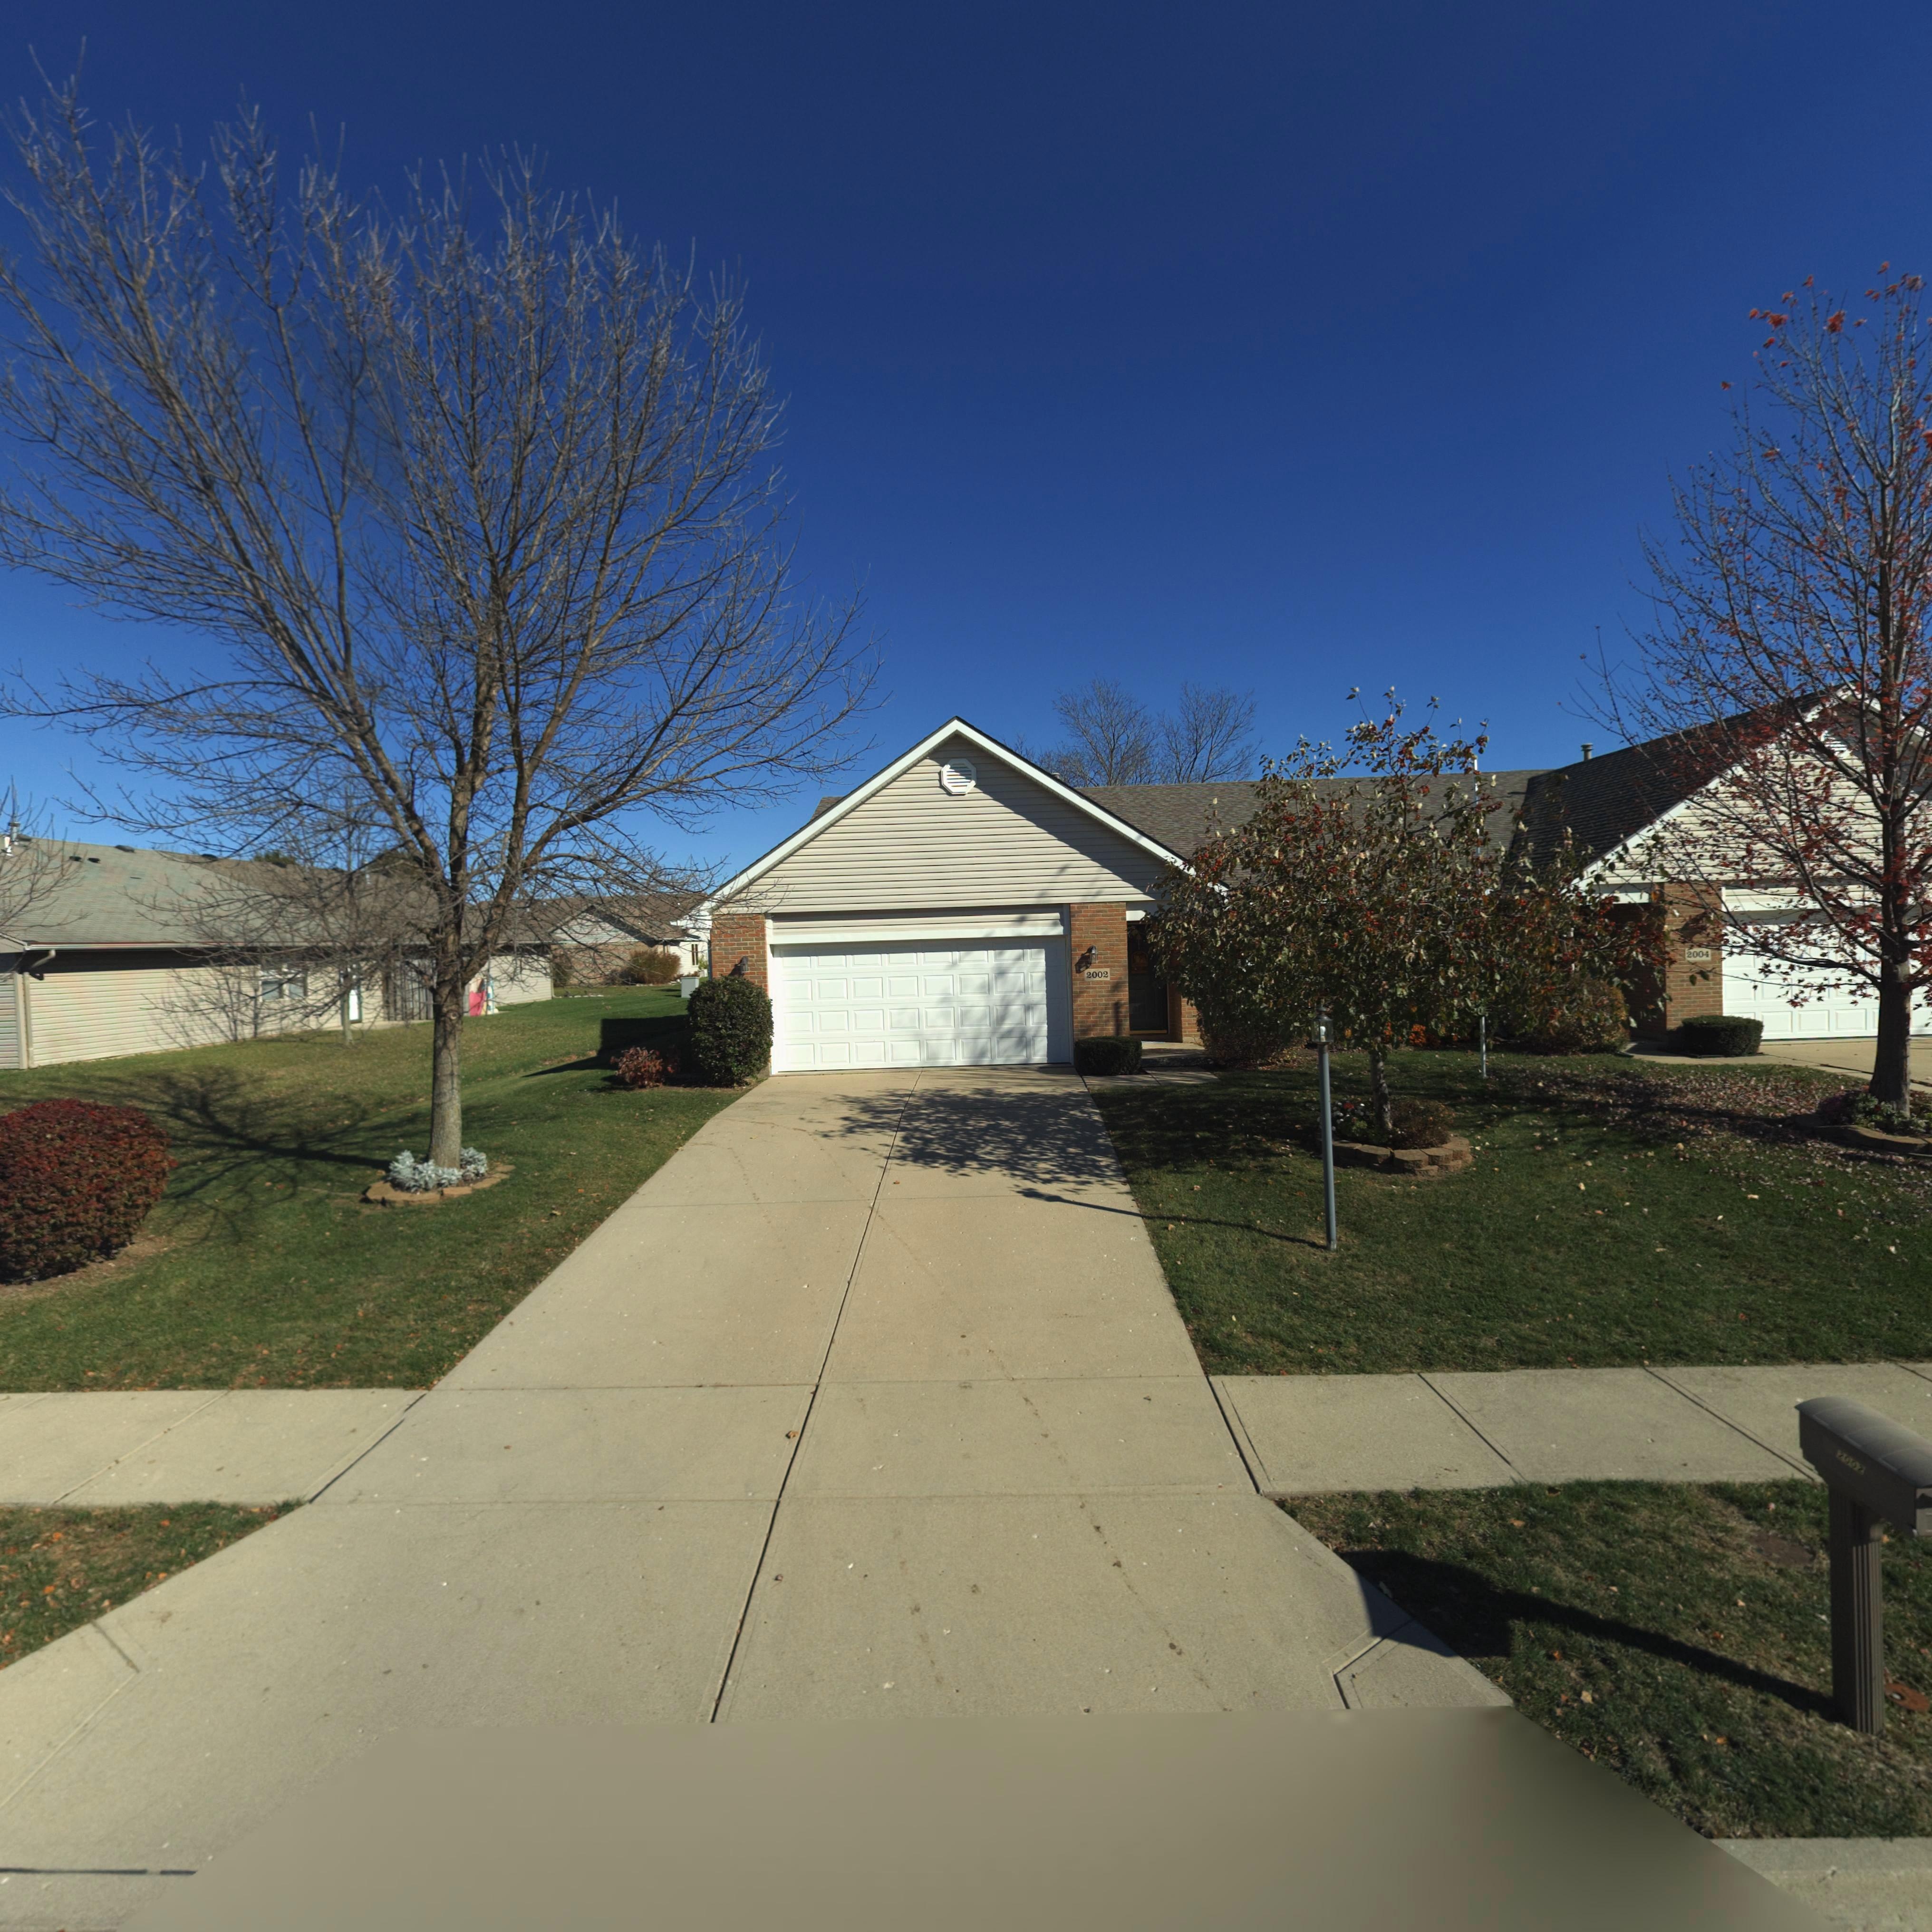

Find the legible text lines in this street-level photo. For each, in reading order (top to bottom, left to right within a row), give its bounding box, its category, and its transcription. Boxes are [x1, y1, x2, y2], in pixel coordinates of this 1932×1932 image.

[1085, 970, 1109, 979] StreetNumber: 2002
[1835, 1449, 1865, 1476] StreetNumber: 2002